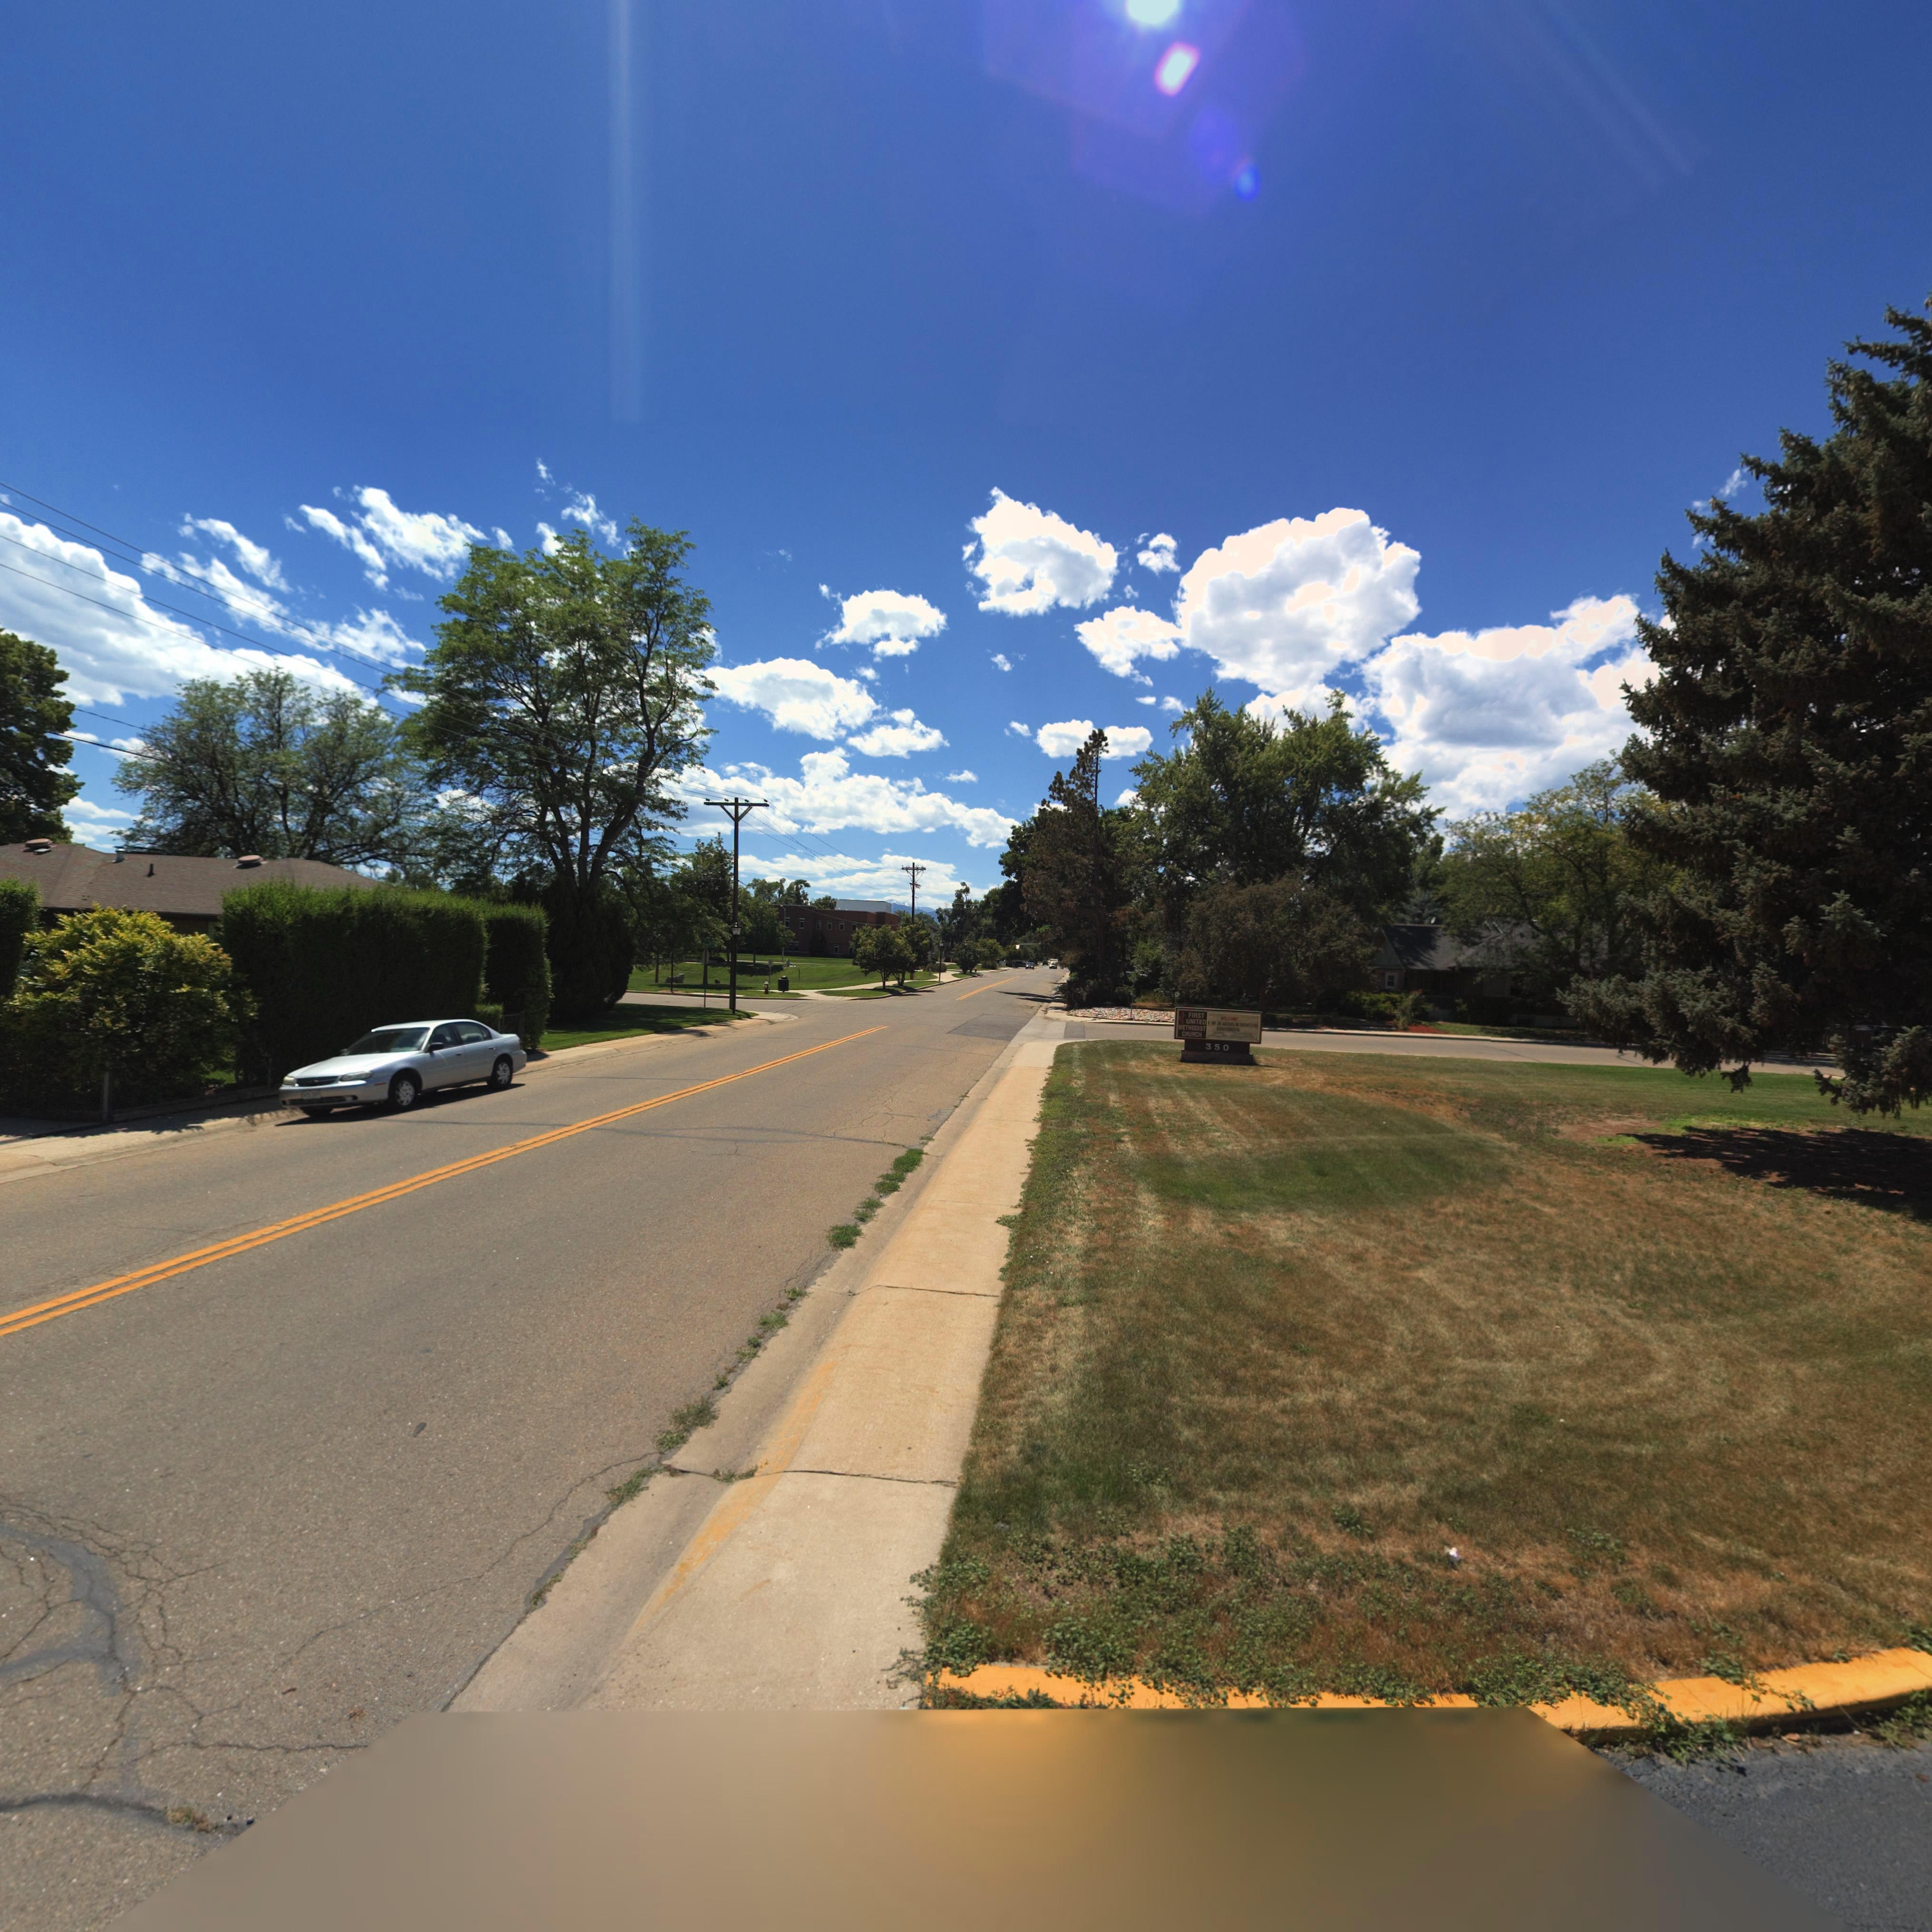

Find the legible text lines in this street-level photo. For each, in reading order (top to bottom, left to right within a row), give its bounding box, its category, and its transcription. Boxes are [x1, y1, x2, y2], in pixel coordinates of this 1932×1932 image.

[1188, 1012, 1205, 1019] BusinessName: FIRST
[1186, 1018, 1207, 1025] BusinessName: U*ITED
[1178, 1024, 1206, 1031] BusinessName: *ETHODIST
[1181, 1030, 1202, 1037] BusinessName: CHURCH
[1205, 1043, 1229, 1051] StreetNumber: 350